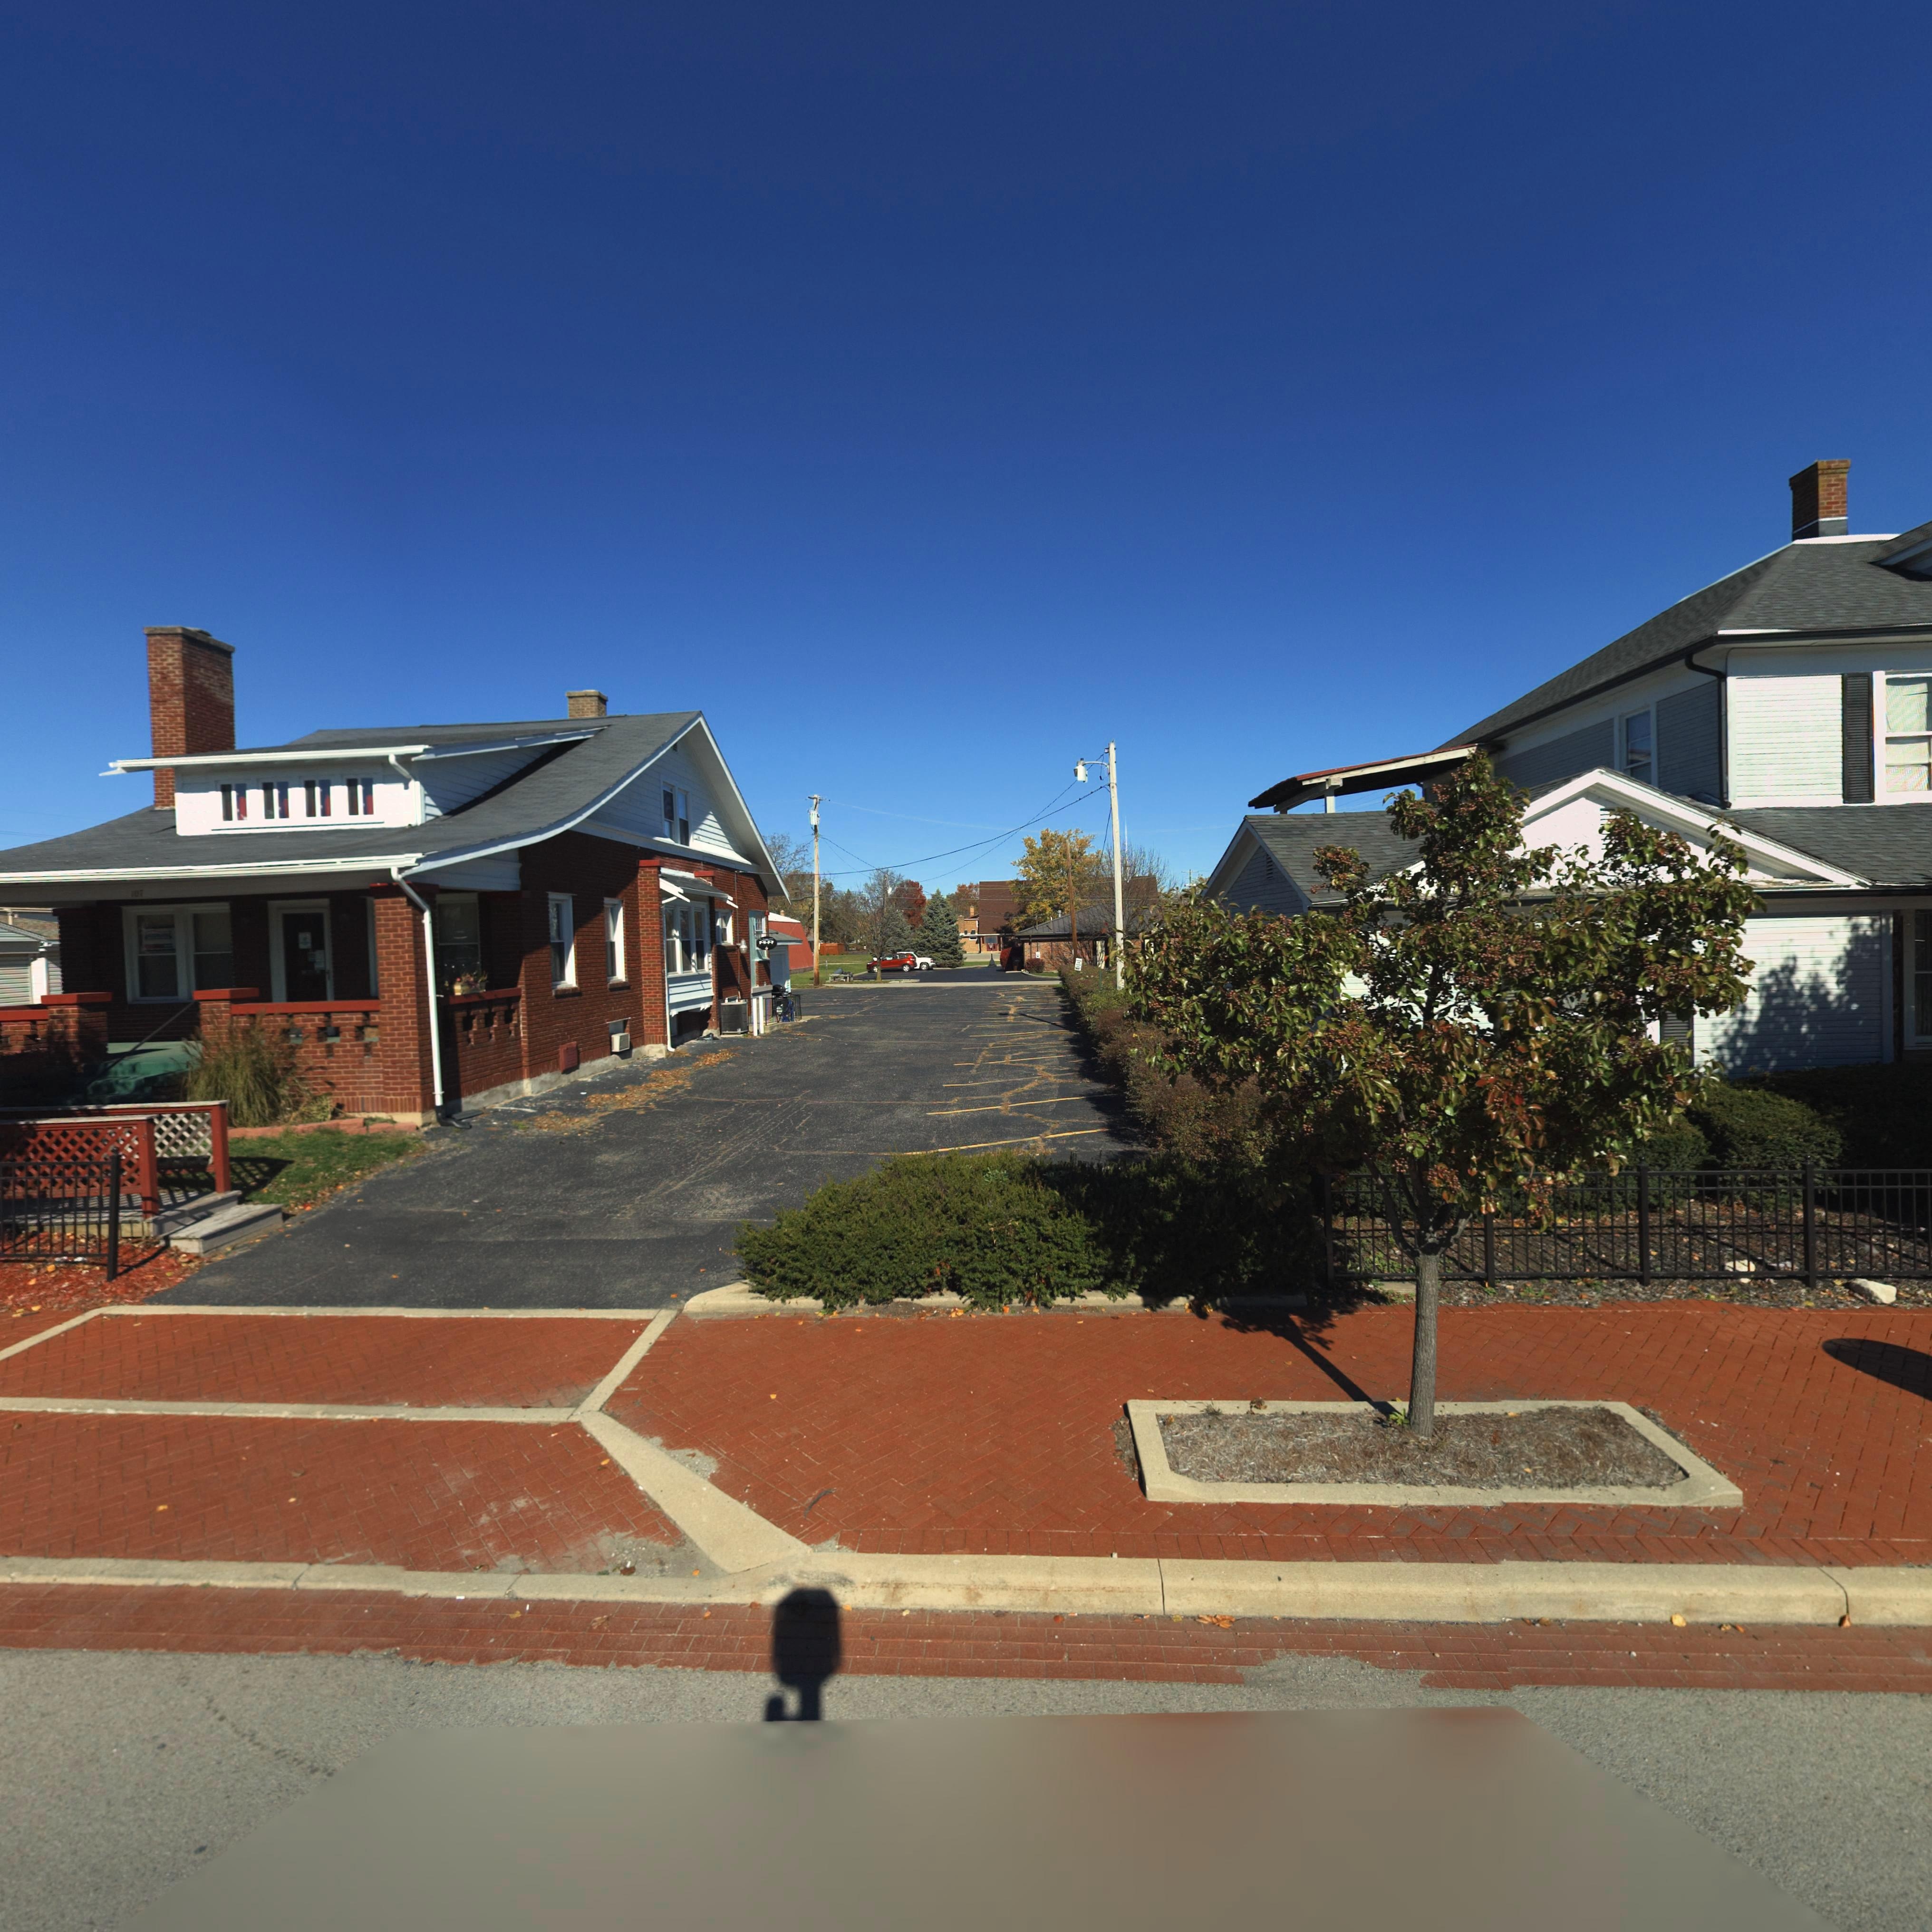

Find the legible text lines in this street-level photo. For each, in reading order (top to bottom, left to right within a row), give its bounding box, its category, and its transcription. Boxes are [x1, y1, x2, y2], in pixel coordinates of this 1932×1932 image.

[130, 889, 143, 898] StreetNumber: 107